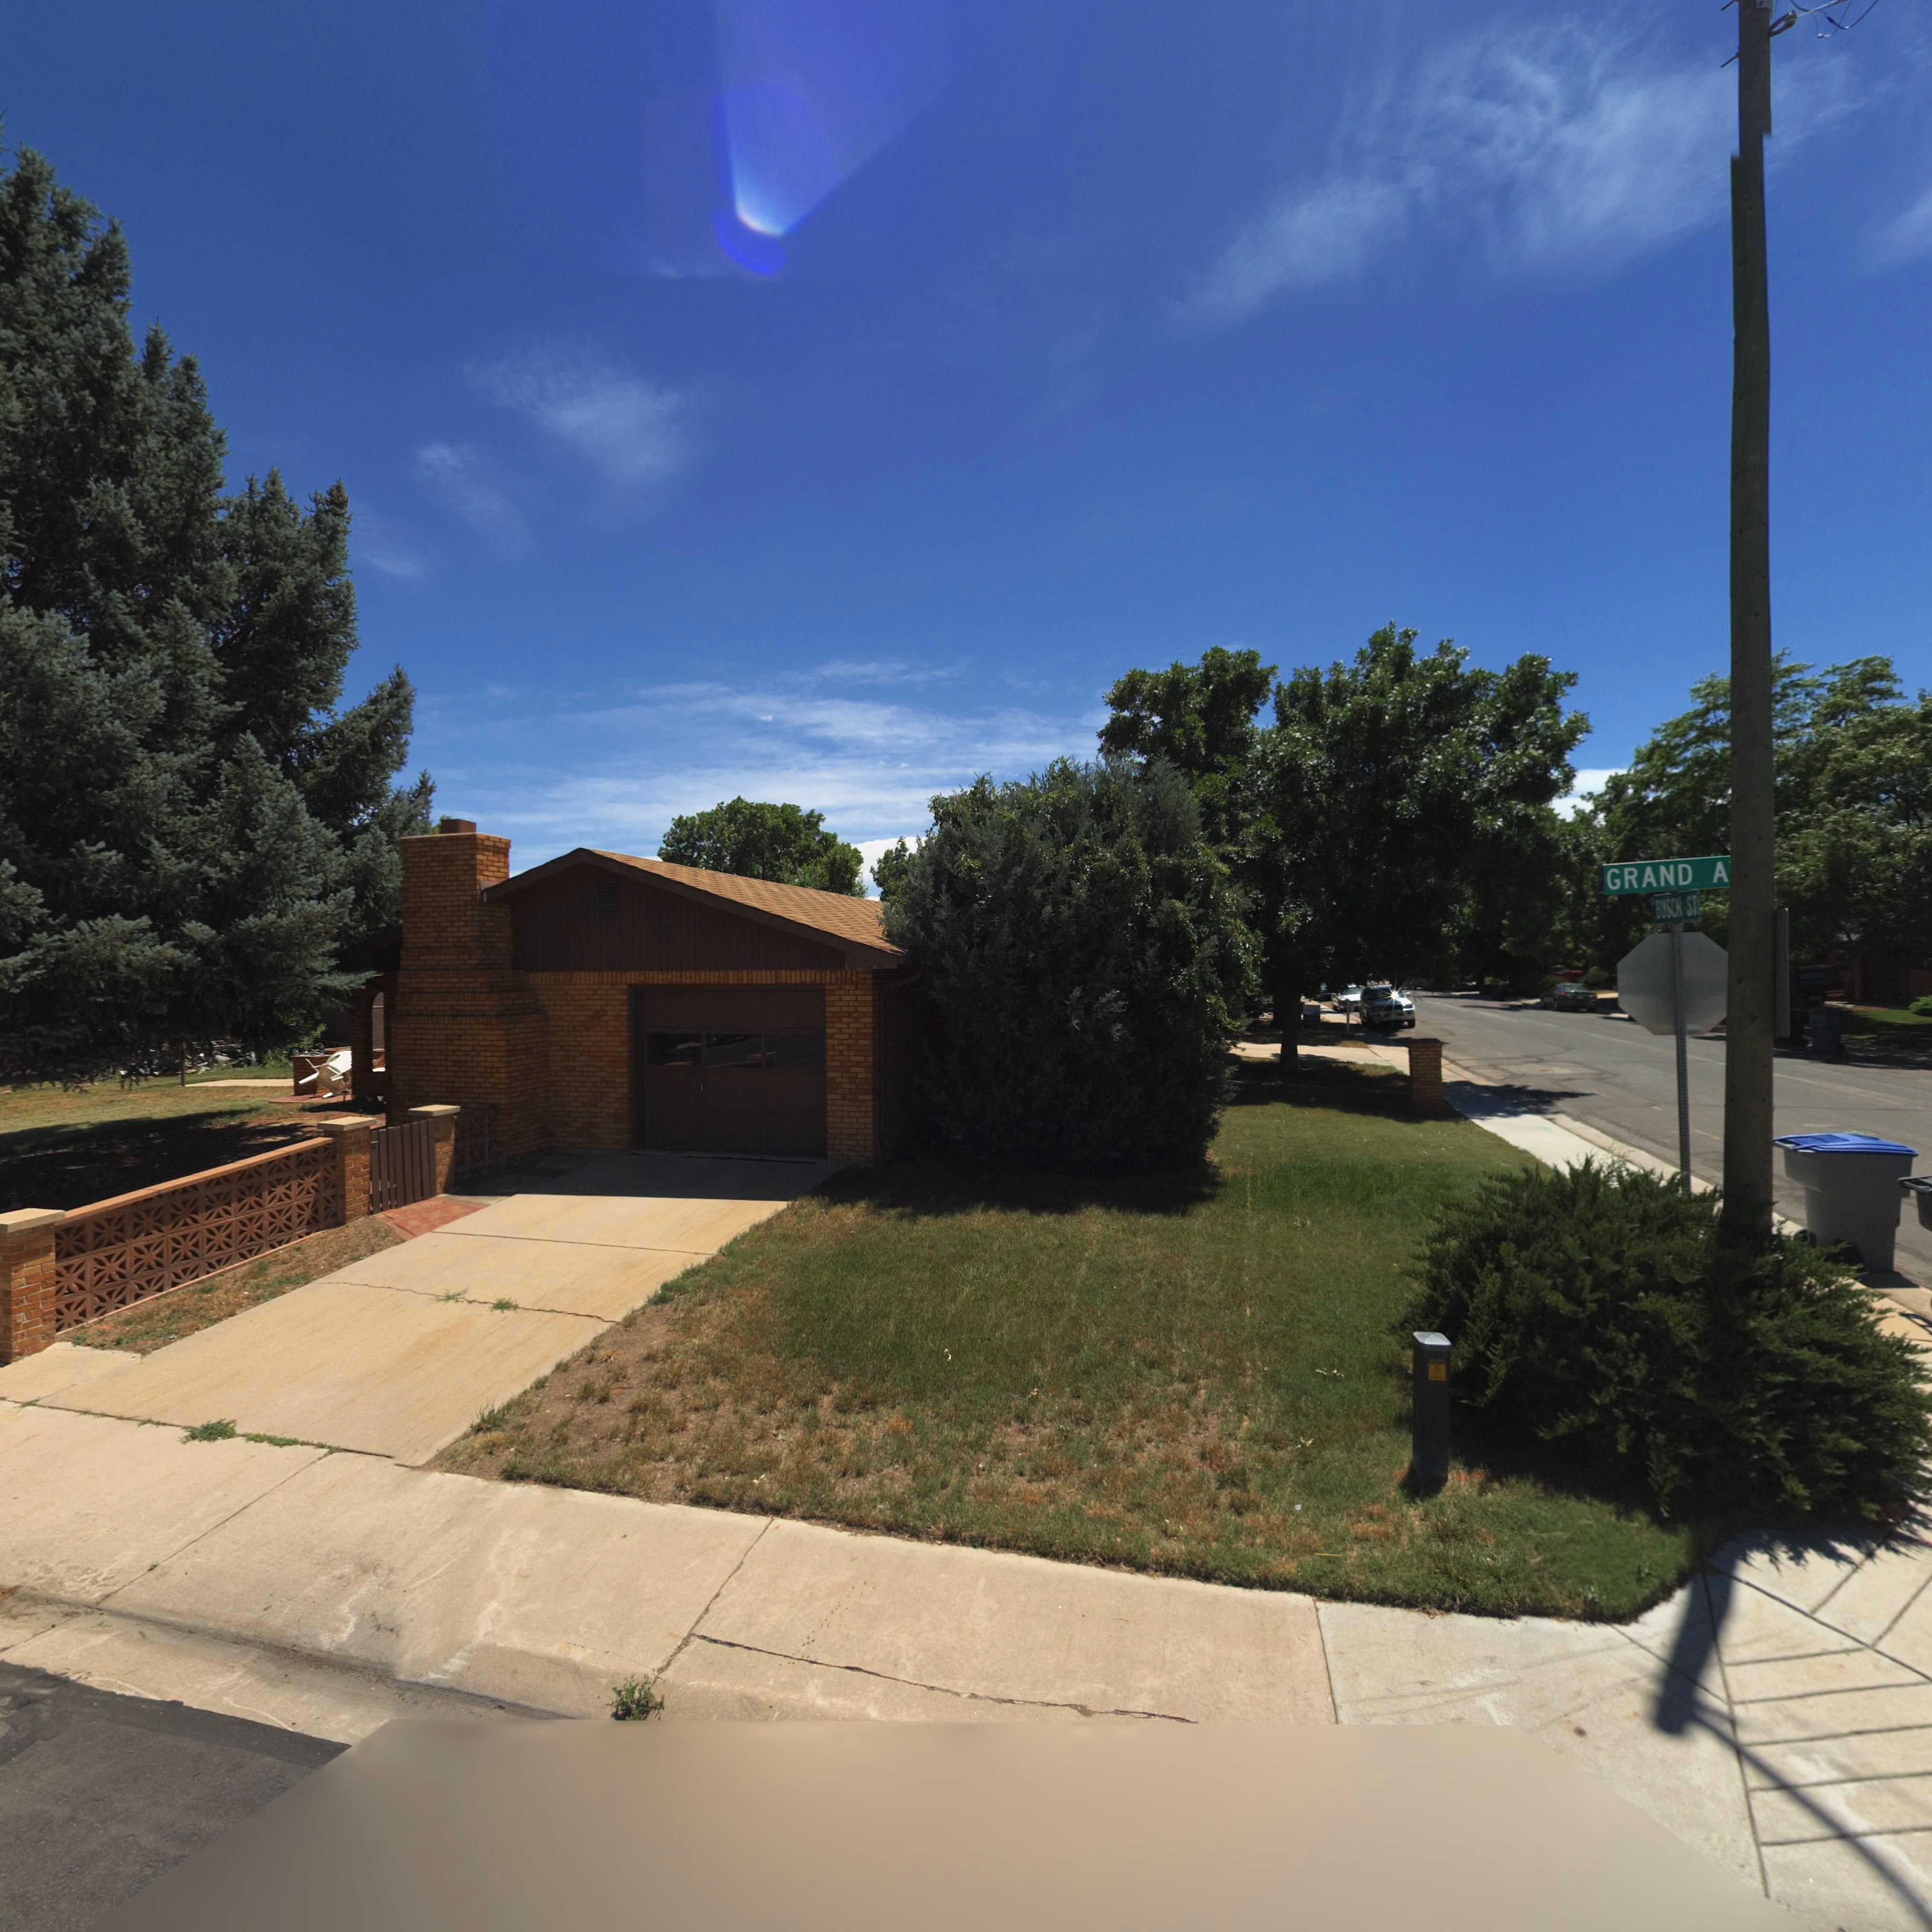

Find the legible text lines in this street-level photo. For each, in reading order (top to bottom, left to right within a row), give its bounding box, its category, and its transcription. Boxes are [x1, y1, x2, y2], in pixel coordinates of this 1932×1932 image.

[1605, 860, 1730, 891] StreetName: GRAND A
[1654, 893, 1698, 920] StreetName: BUSCH ST